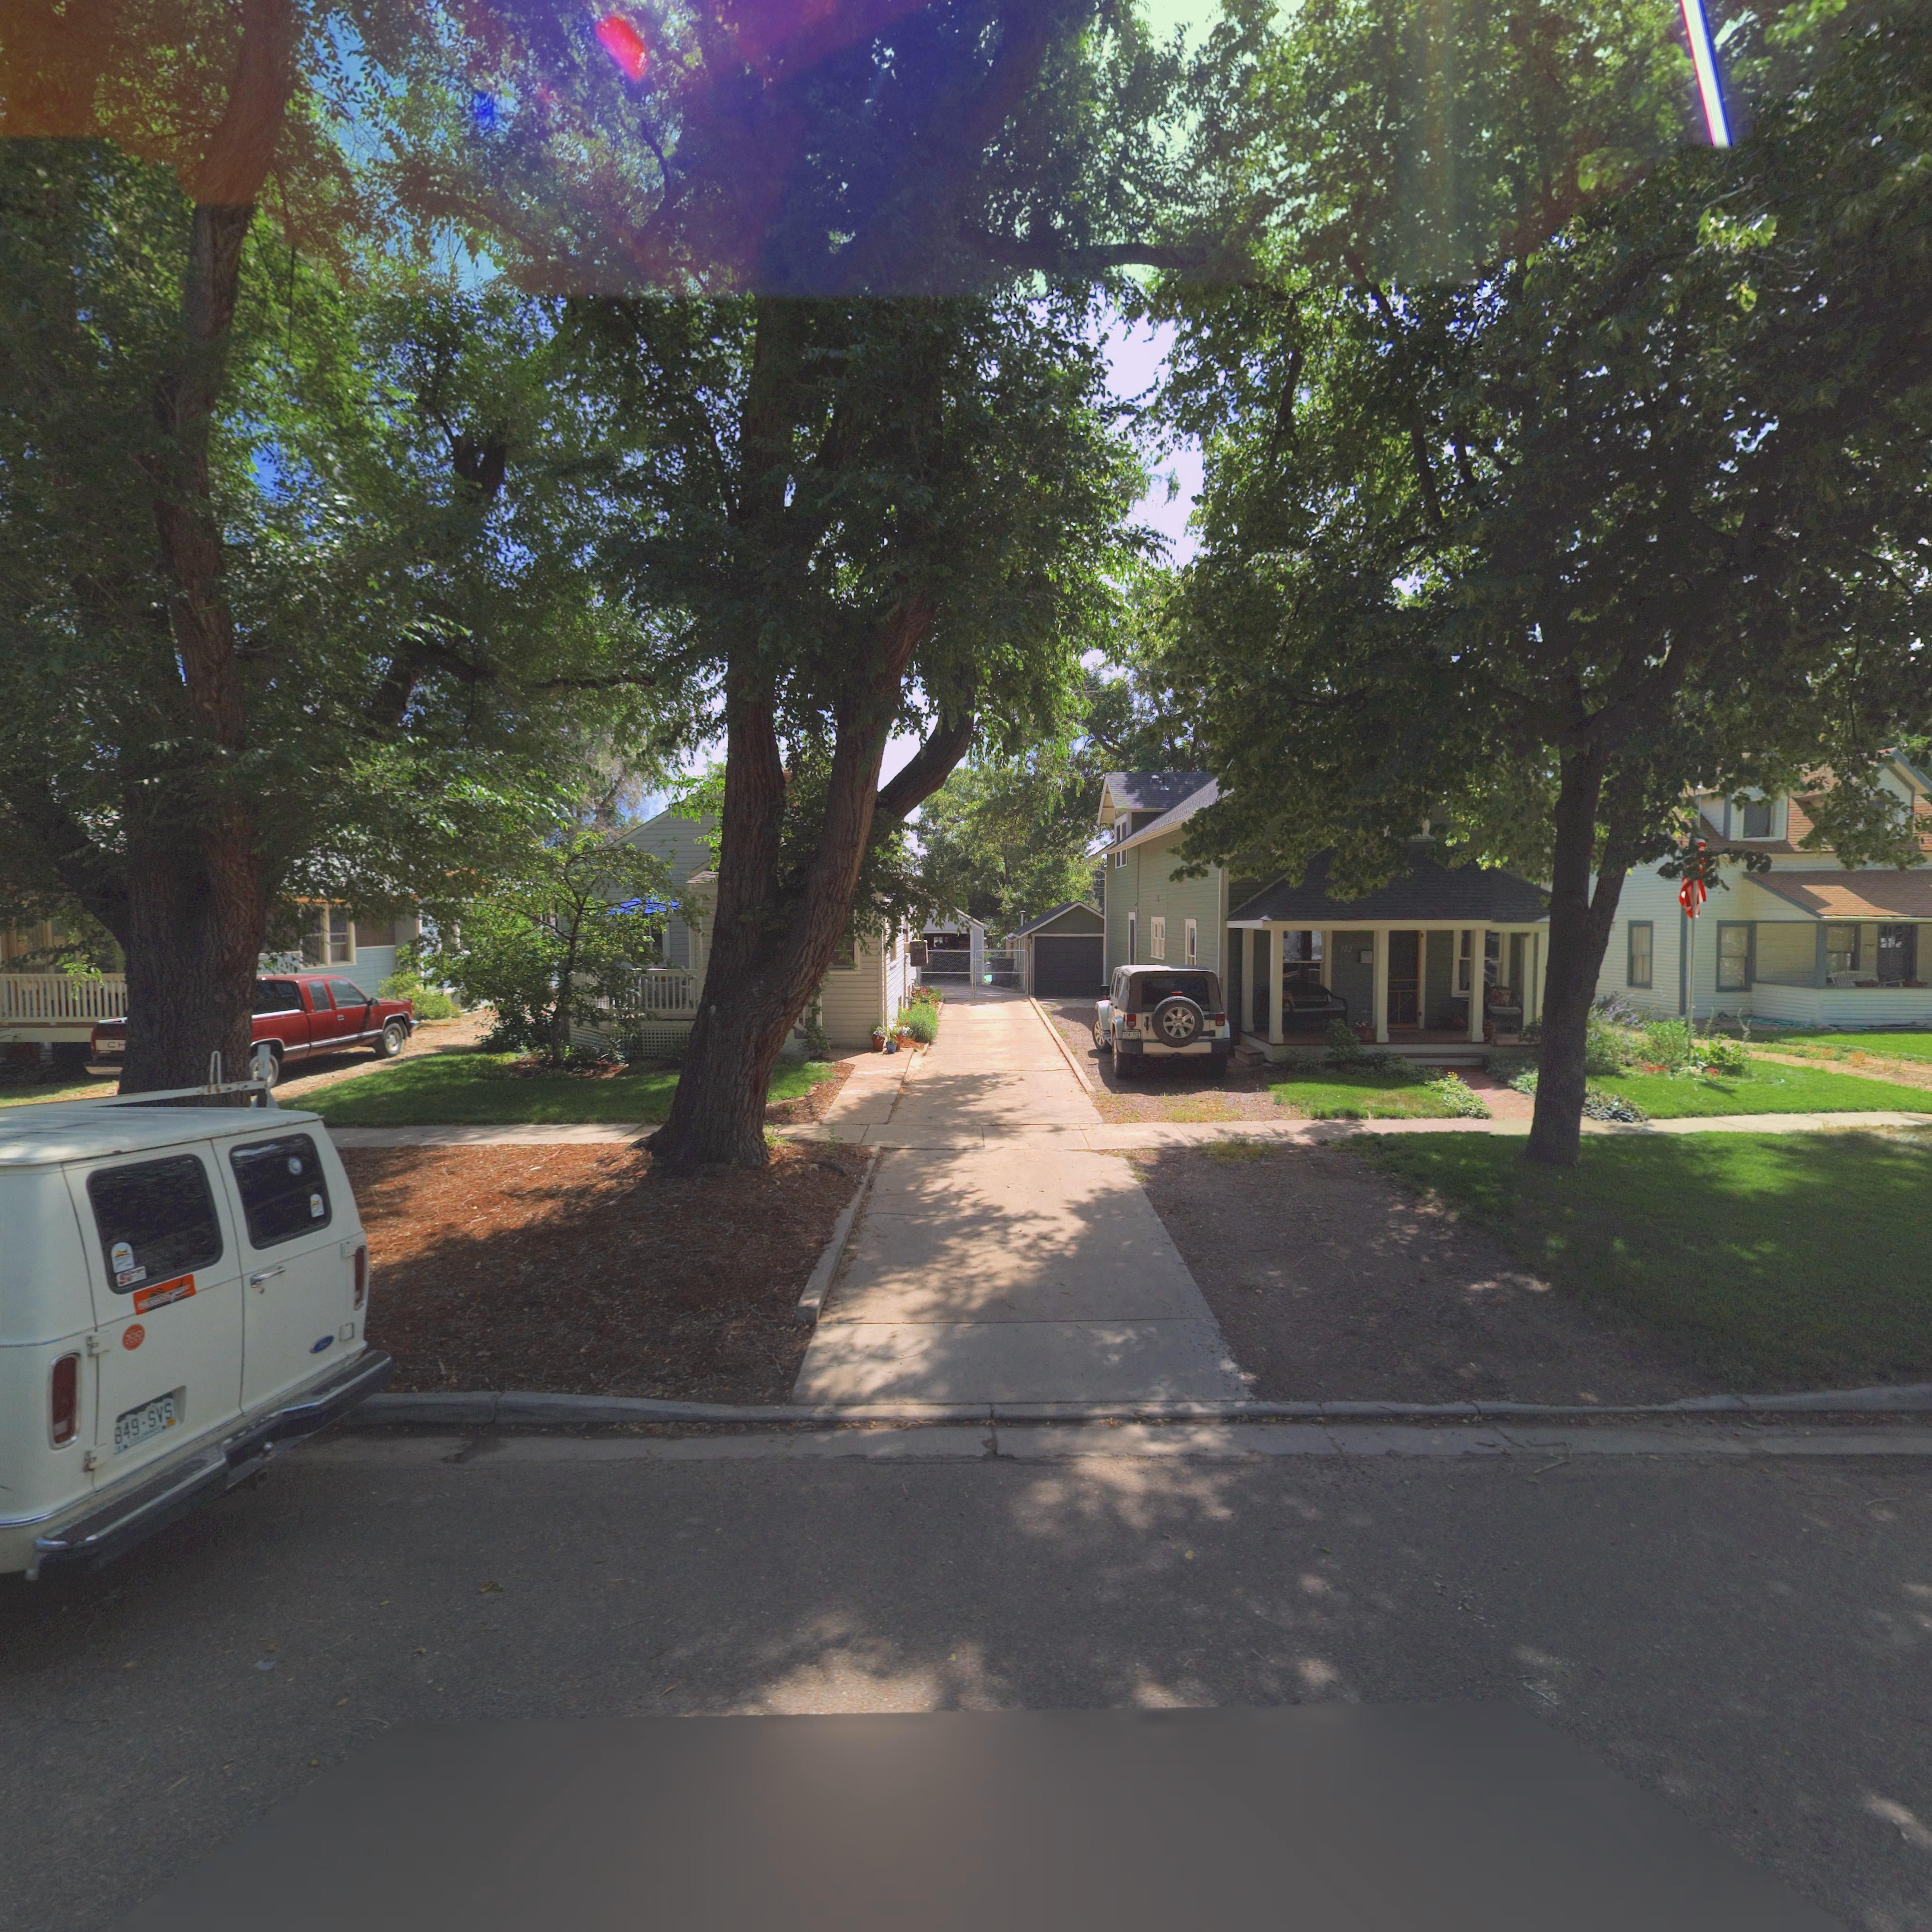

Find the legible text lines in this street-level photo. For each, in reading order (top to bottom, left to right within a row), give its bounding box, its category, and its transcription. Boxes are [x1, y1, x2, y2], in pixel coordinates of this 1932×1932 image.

[1339, 945, 1352, 953] StreetNumber: 722